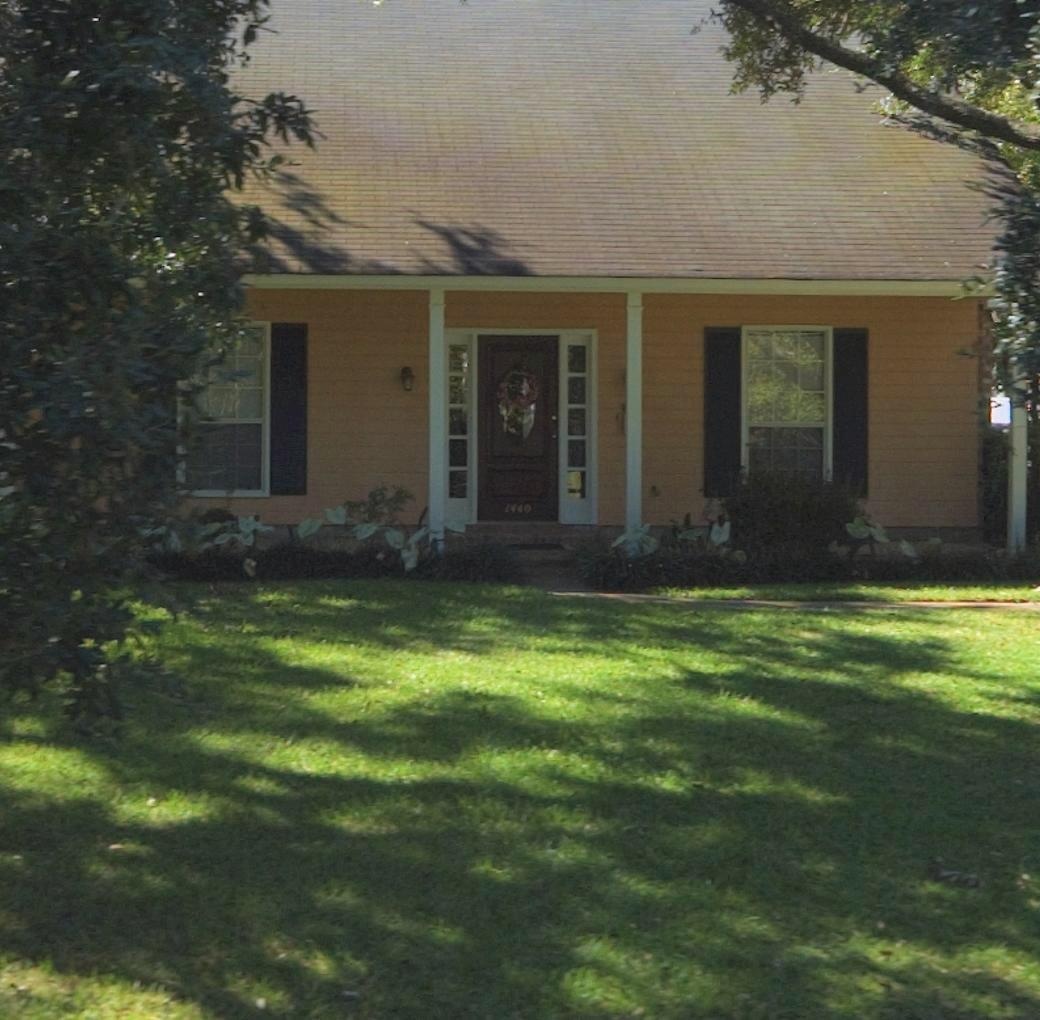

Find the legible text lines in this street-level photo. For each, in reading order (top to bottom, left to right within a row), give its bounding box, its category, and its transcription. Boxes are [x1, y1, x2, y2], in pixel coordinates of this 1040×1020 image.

[503, 502, 532, 515] StreetNumber: 1440